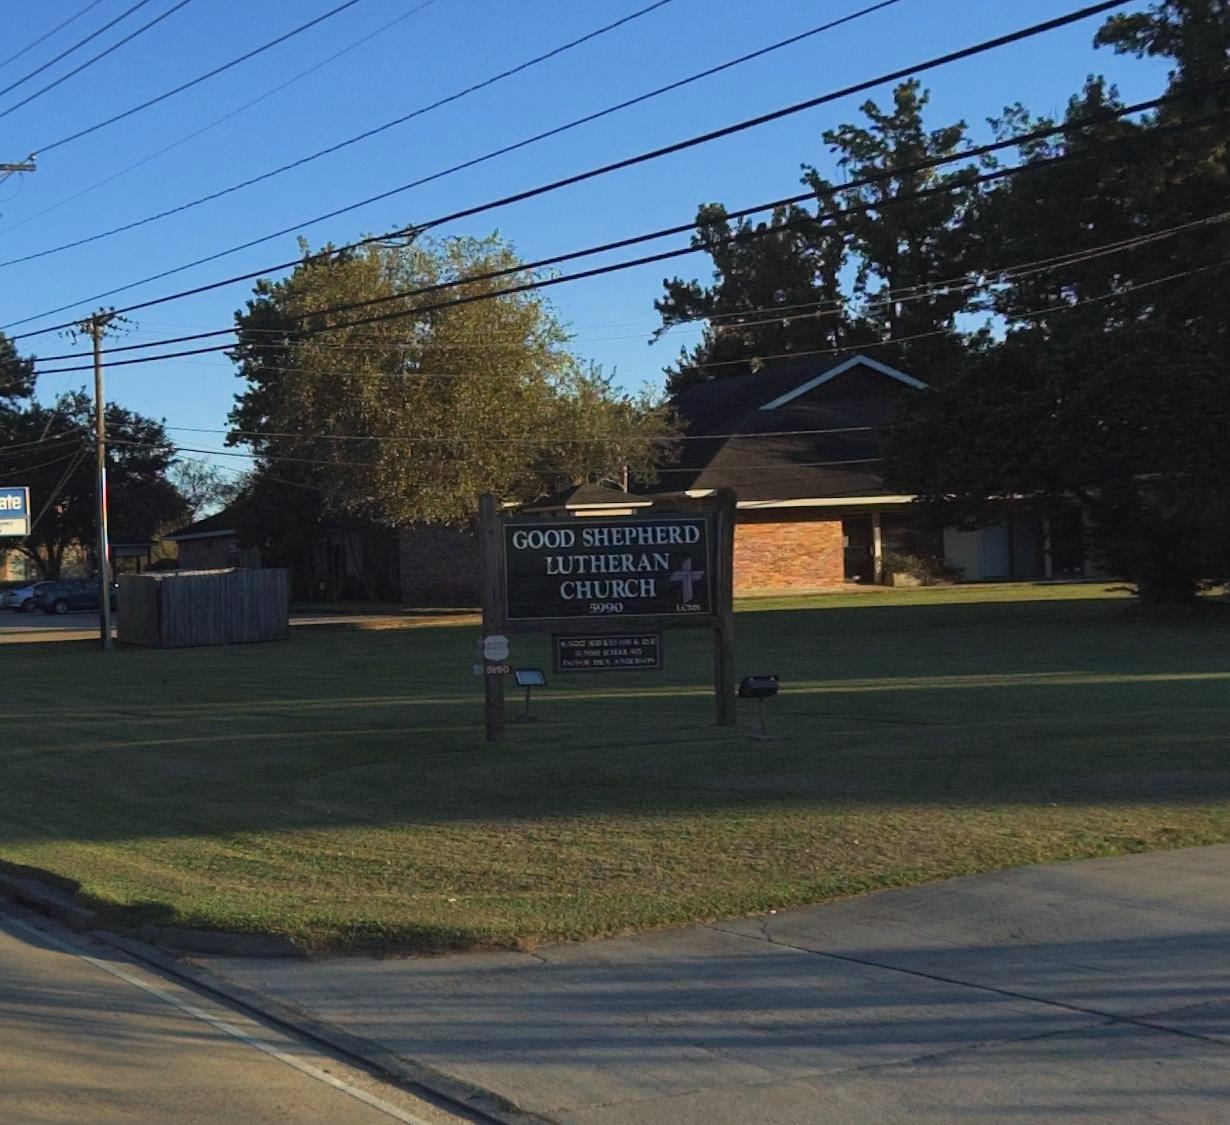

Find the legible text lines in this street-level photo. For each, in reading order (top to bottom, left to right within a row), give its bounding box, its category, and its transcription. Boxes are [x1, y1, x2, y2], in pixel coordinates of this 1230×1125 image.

[4, 493, 23, 512] None: te
[510, 524, 701, 551] BusinessName: GOOD SHEPHERD
[543, 551, 672, 577] BusinessName: LUTHERAN
[558, 577, 658, 601] BusinessName: CHURCH
[588, 601, 624, 616] StreetNumber: 5990
[485, 664, 511, 674] StreetNumber: ***0